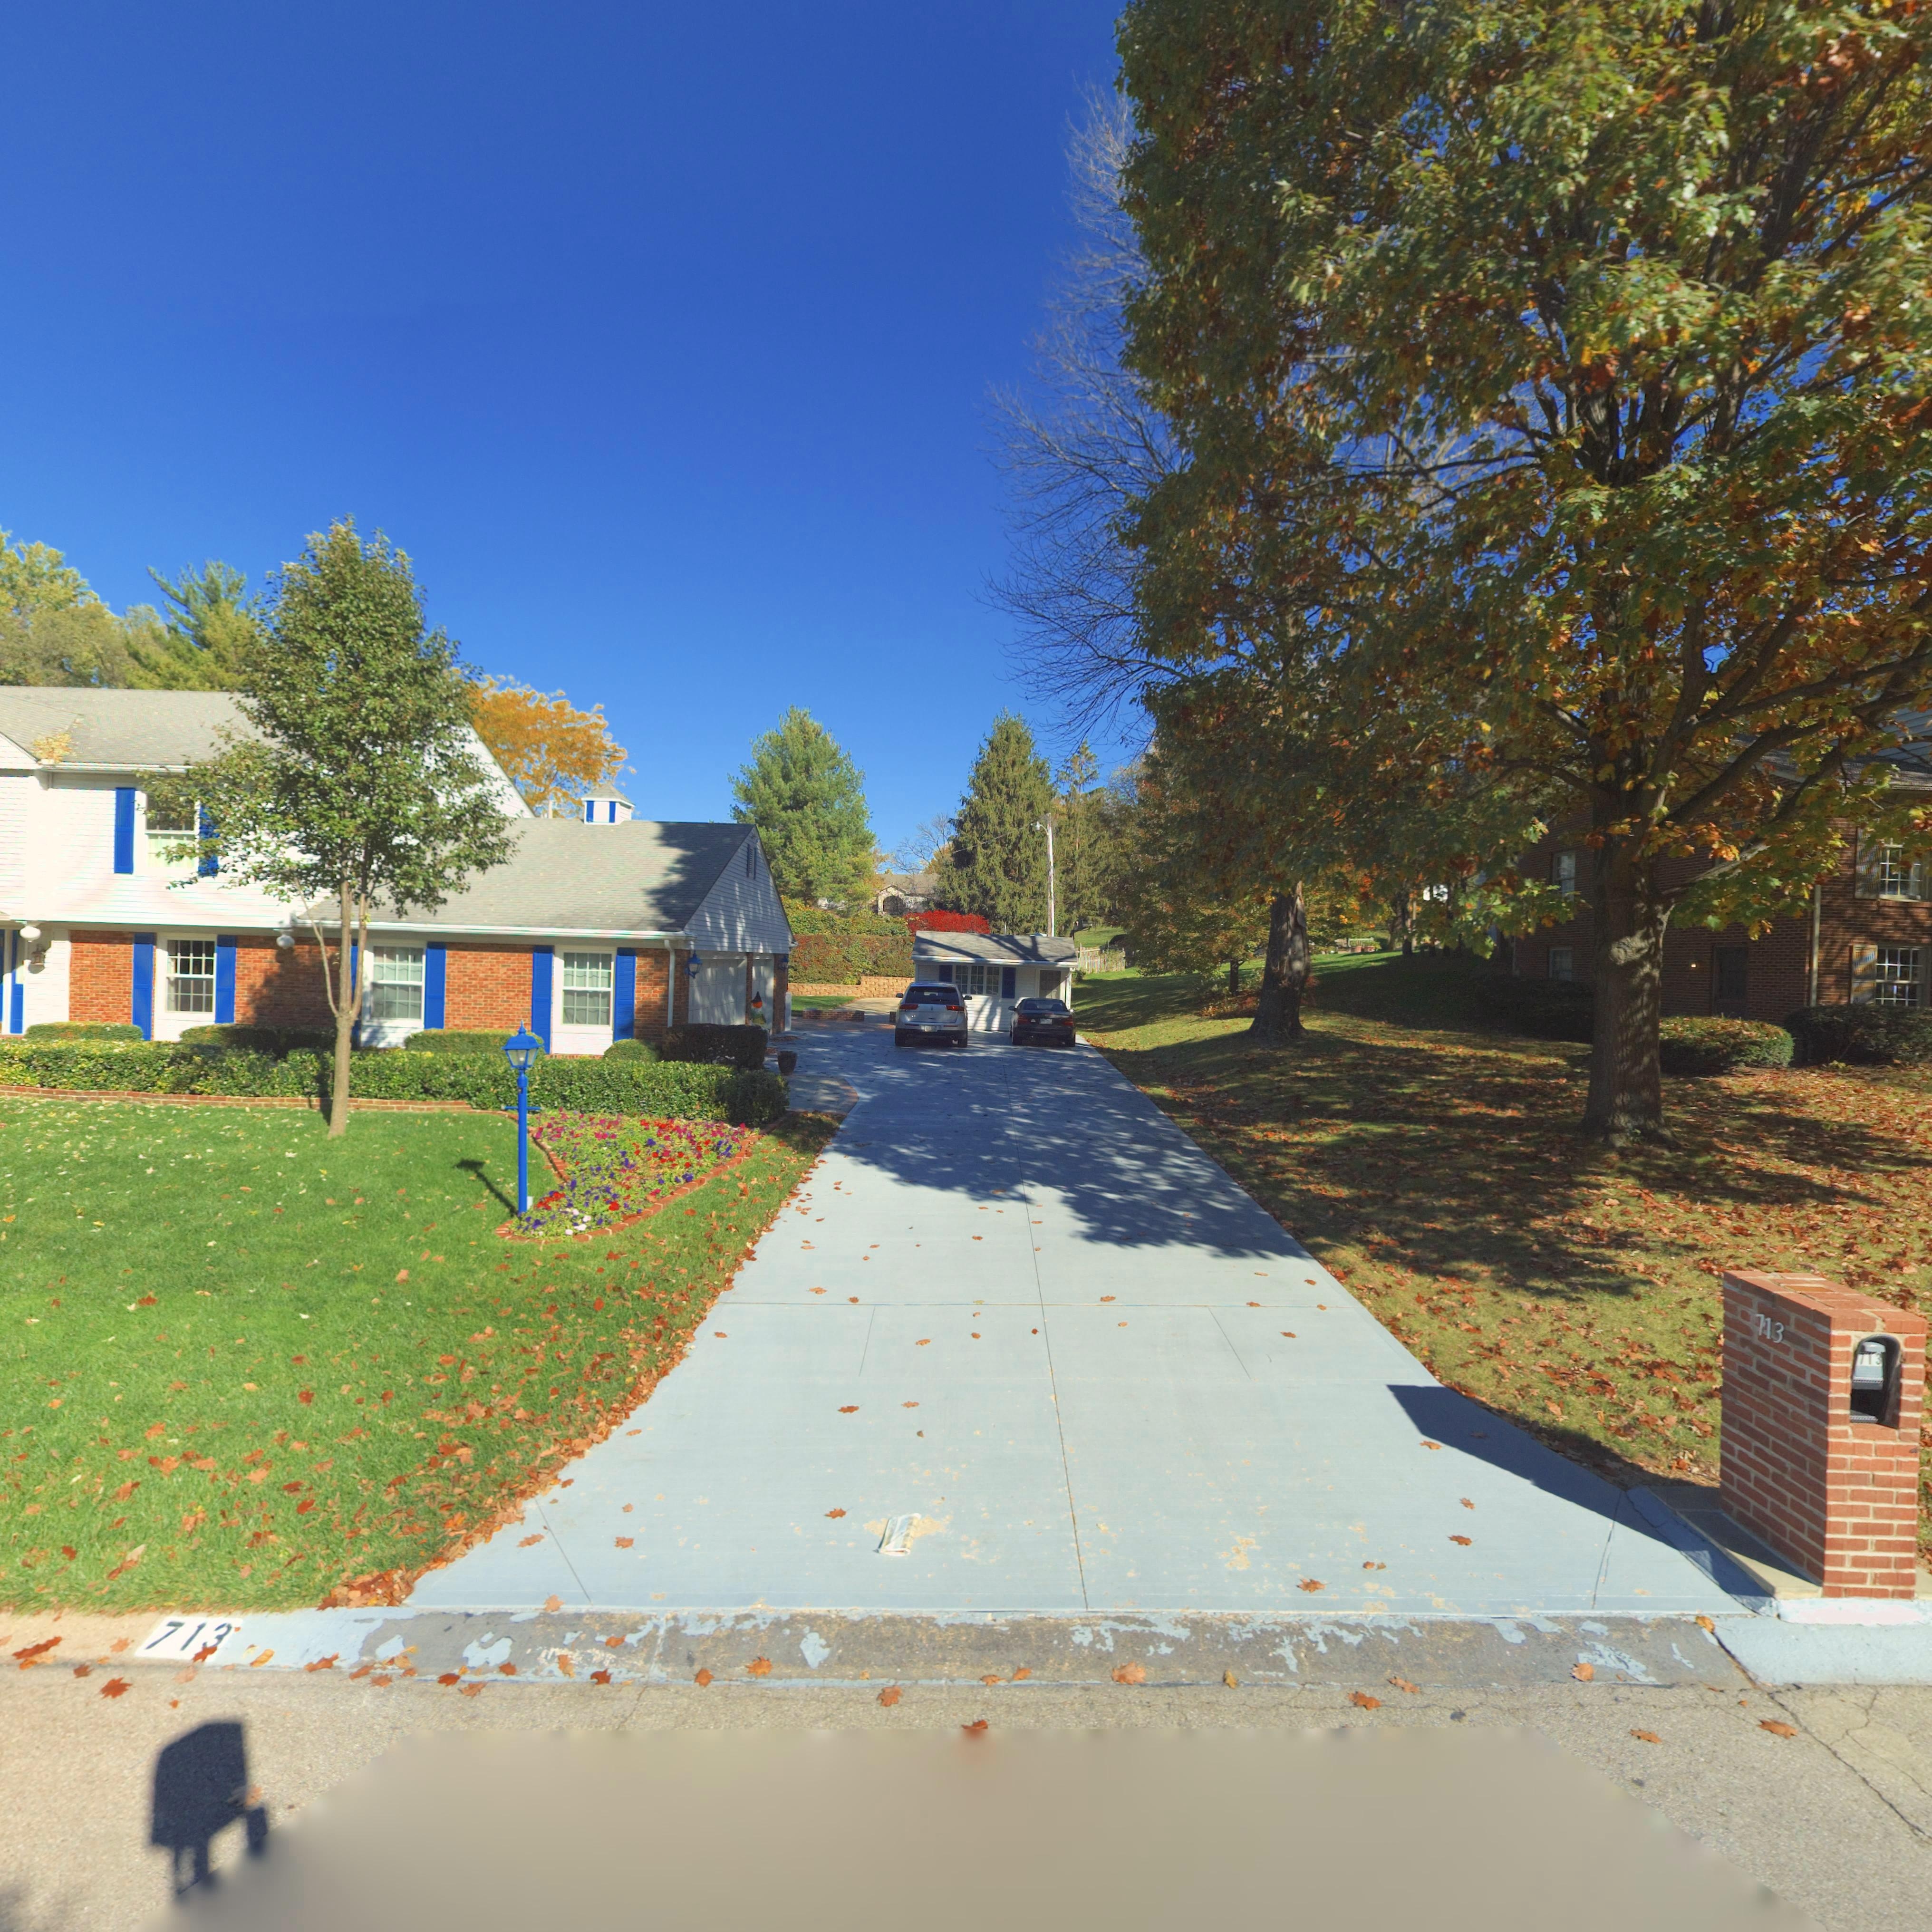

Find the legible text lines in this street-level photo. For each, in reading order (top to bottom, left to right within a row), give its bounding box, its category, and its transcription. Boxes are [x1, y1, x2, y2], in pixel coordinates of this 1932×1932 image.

[1754, 1309, 1787, 1346] StreetNumber: 713
[1858, 1353, 1883, 1364] StreetNumber: 713
[142, 1620, 240, 1651] StreetNumber: 713